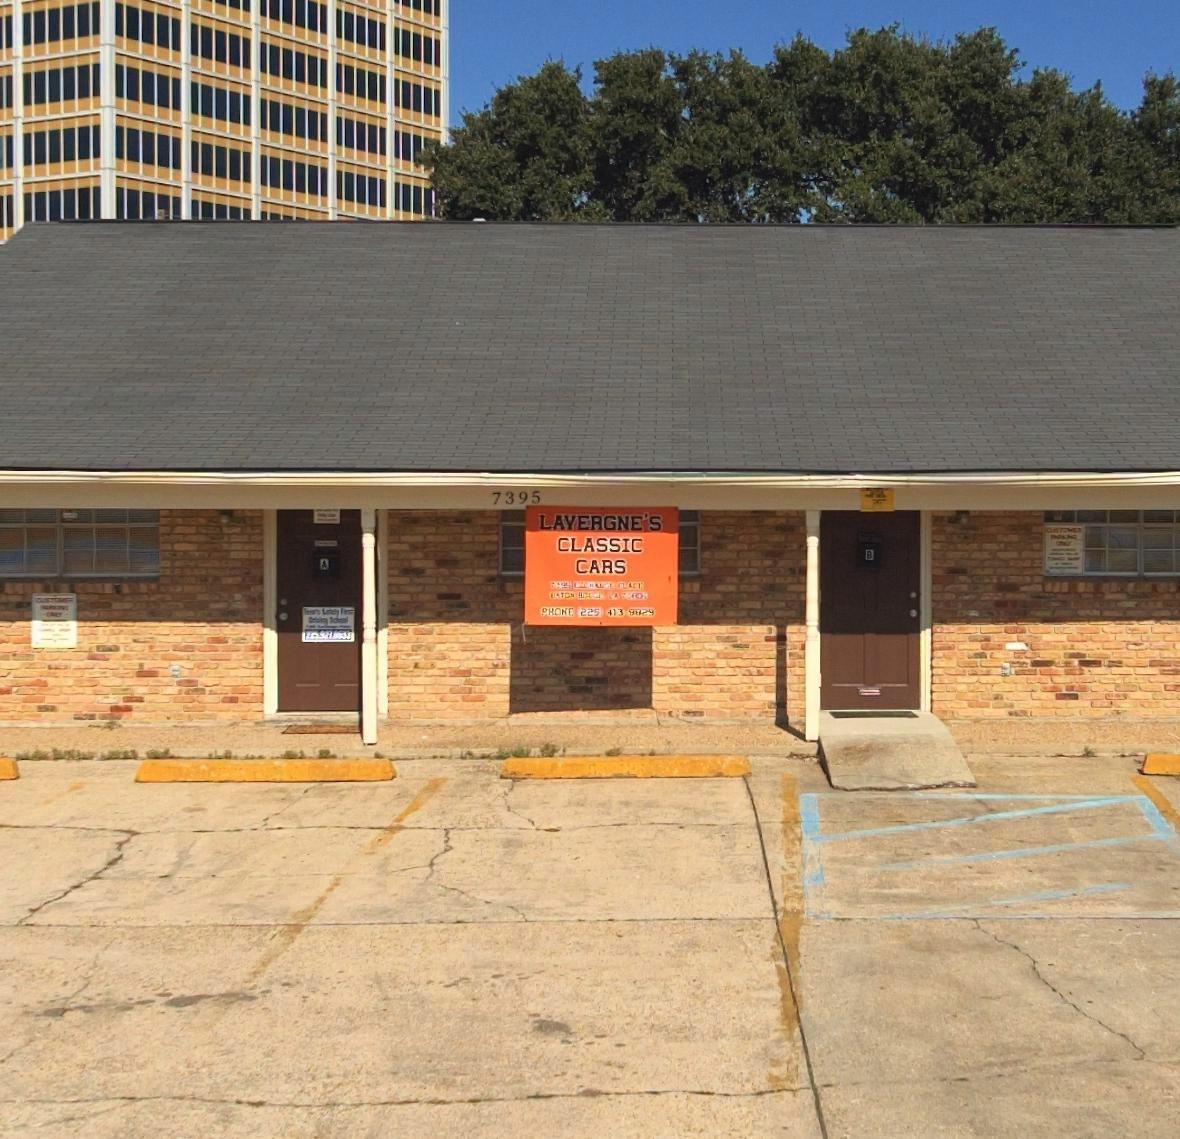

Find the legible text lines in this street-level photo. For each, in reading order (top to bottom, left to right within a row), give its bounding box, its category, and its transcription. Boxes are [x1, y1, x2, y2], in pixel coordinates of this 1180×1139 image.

[489, 487, 545, 509] StreetNumber: 7395
[537, 510, 665, 534] BusinessName: LAVERGNE'S
[319, 557, 329, 570] StreetNumber: A
[554, 534, 646, 556] BusinessName: CLASSIC
[573, 556, 630, 578] BusinessName: CARS
[865, 548, 874, 561] StreetNumber: B
[1053, 539, 1062, 548] None: O
[538, 604, 658, 620] None: PHONE 225 413 **29